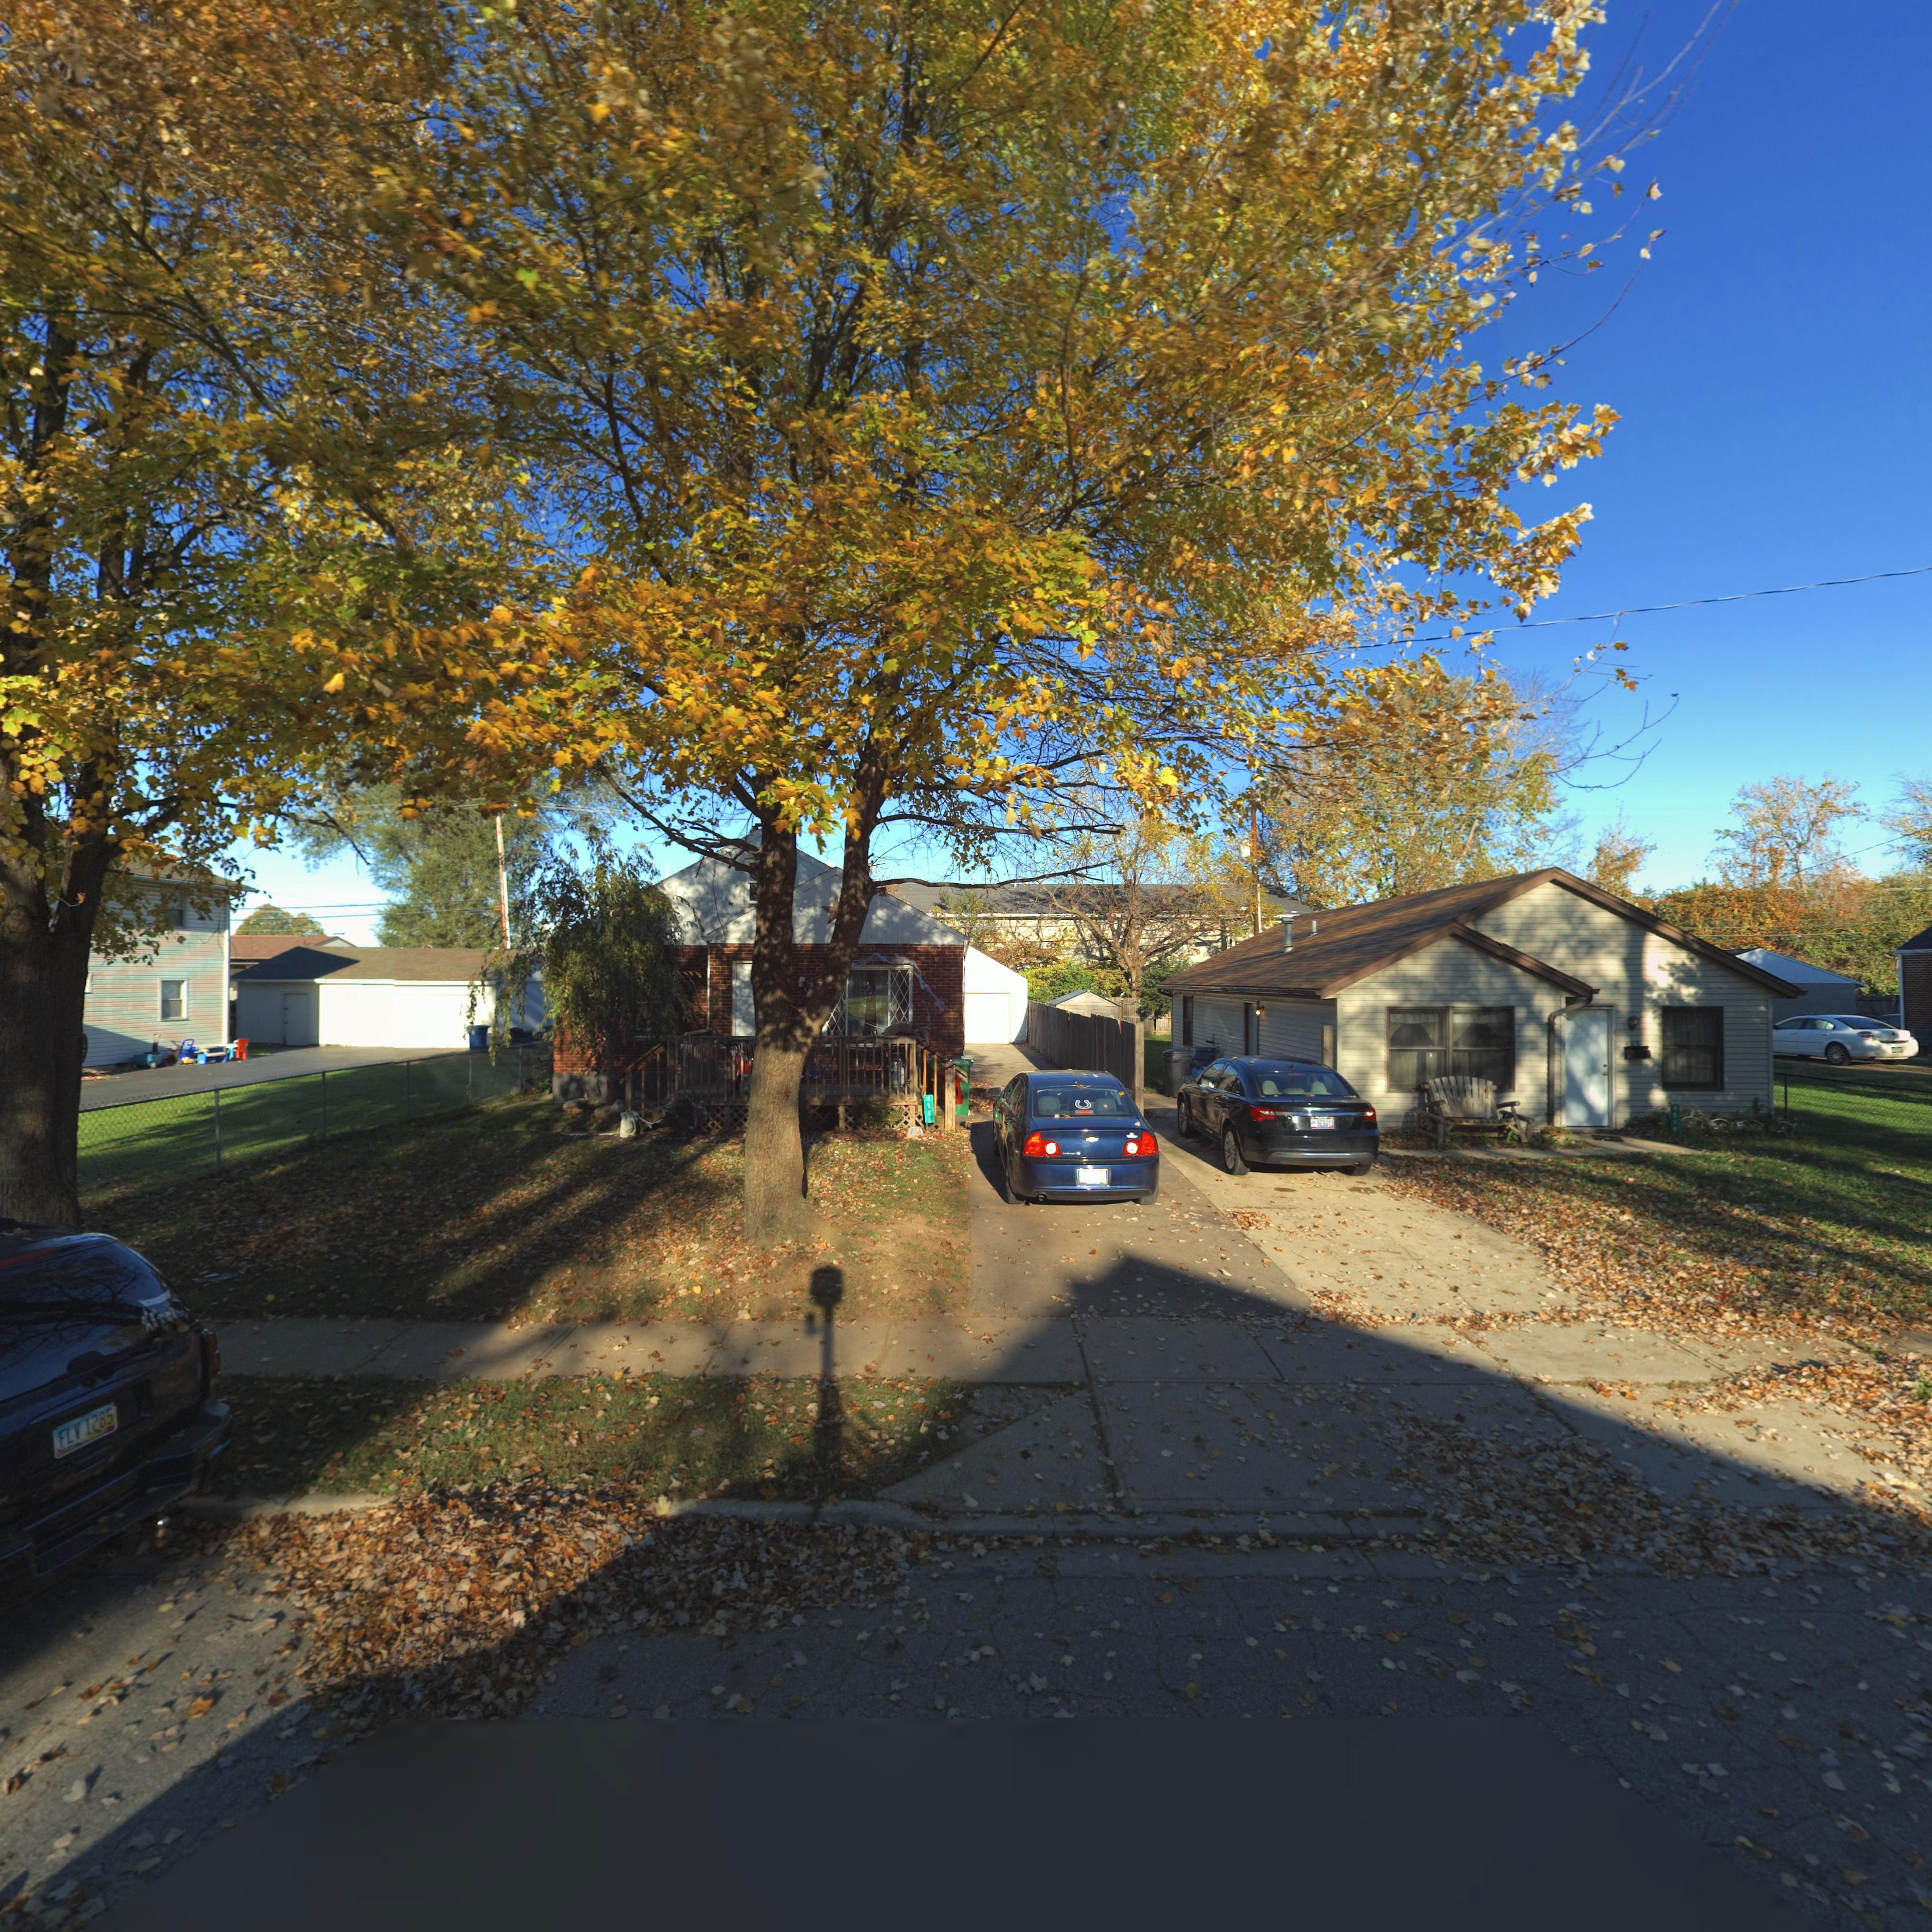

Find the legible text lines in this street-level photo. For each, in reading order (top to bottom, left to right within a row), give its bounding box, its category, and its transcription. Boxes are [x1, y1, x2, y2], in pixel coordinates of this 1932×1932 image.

[1624, 1040, 1641, 1046] StreetNumber: 4515
[1672, 1103, 1677, 1132] StreetNumber: 4515